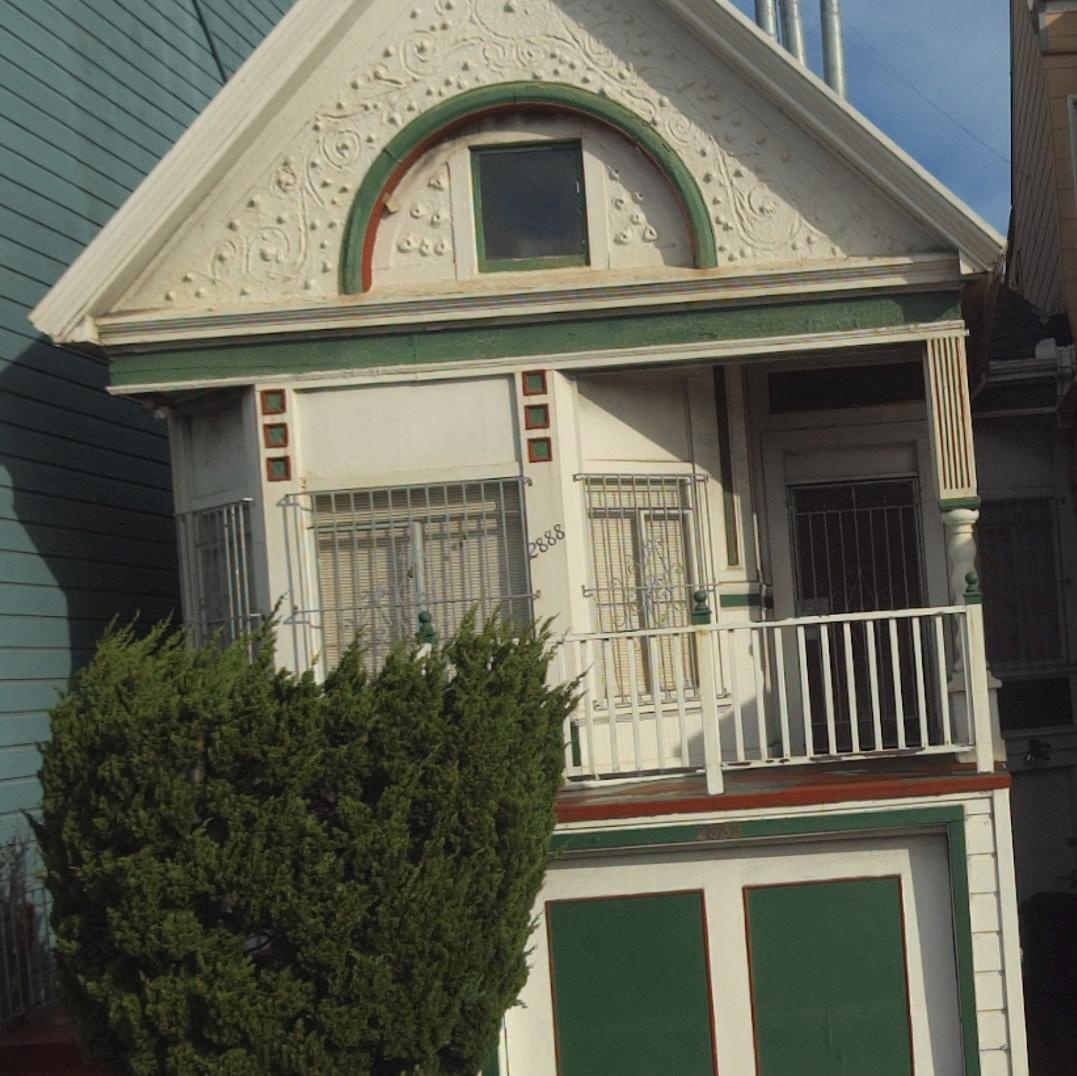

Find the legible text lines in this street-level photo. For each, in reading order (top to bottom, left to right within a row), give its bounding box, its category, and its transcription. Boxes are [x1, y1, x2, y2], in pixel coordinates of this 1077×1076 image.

[526, 521, 568, 562] StreetNumber: 2888
[691, 819, 745, 845] StreetNumber: 2888